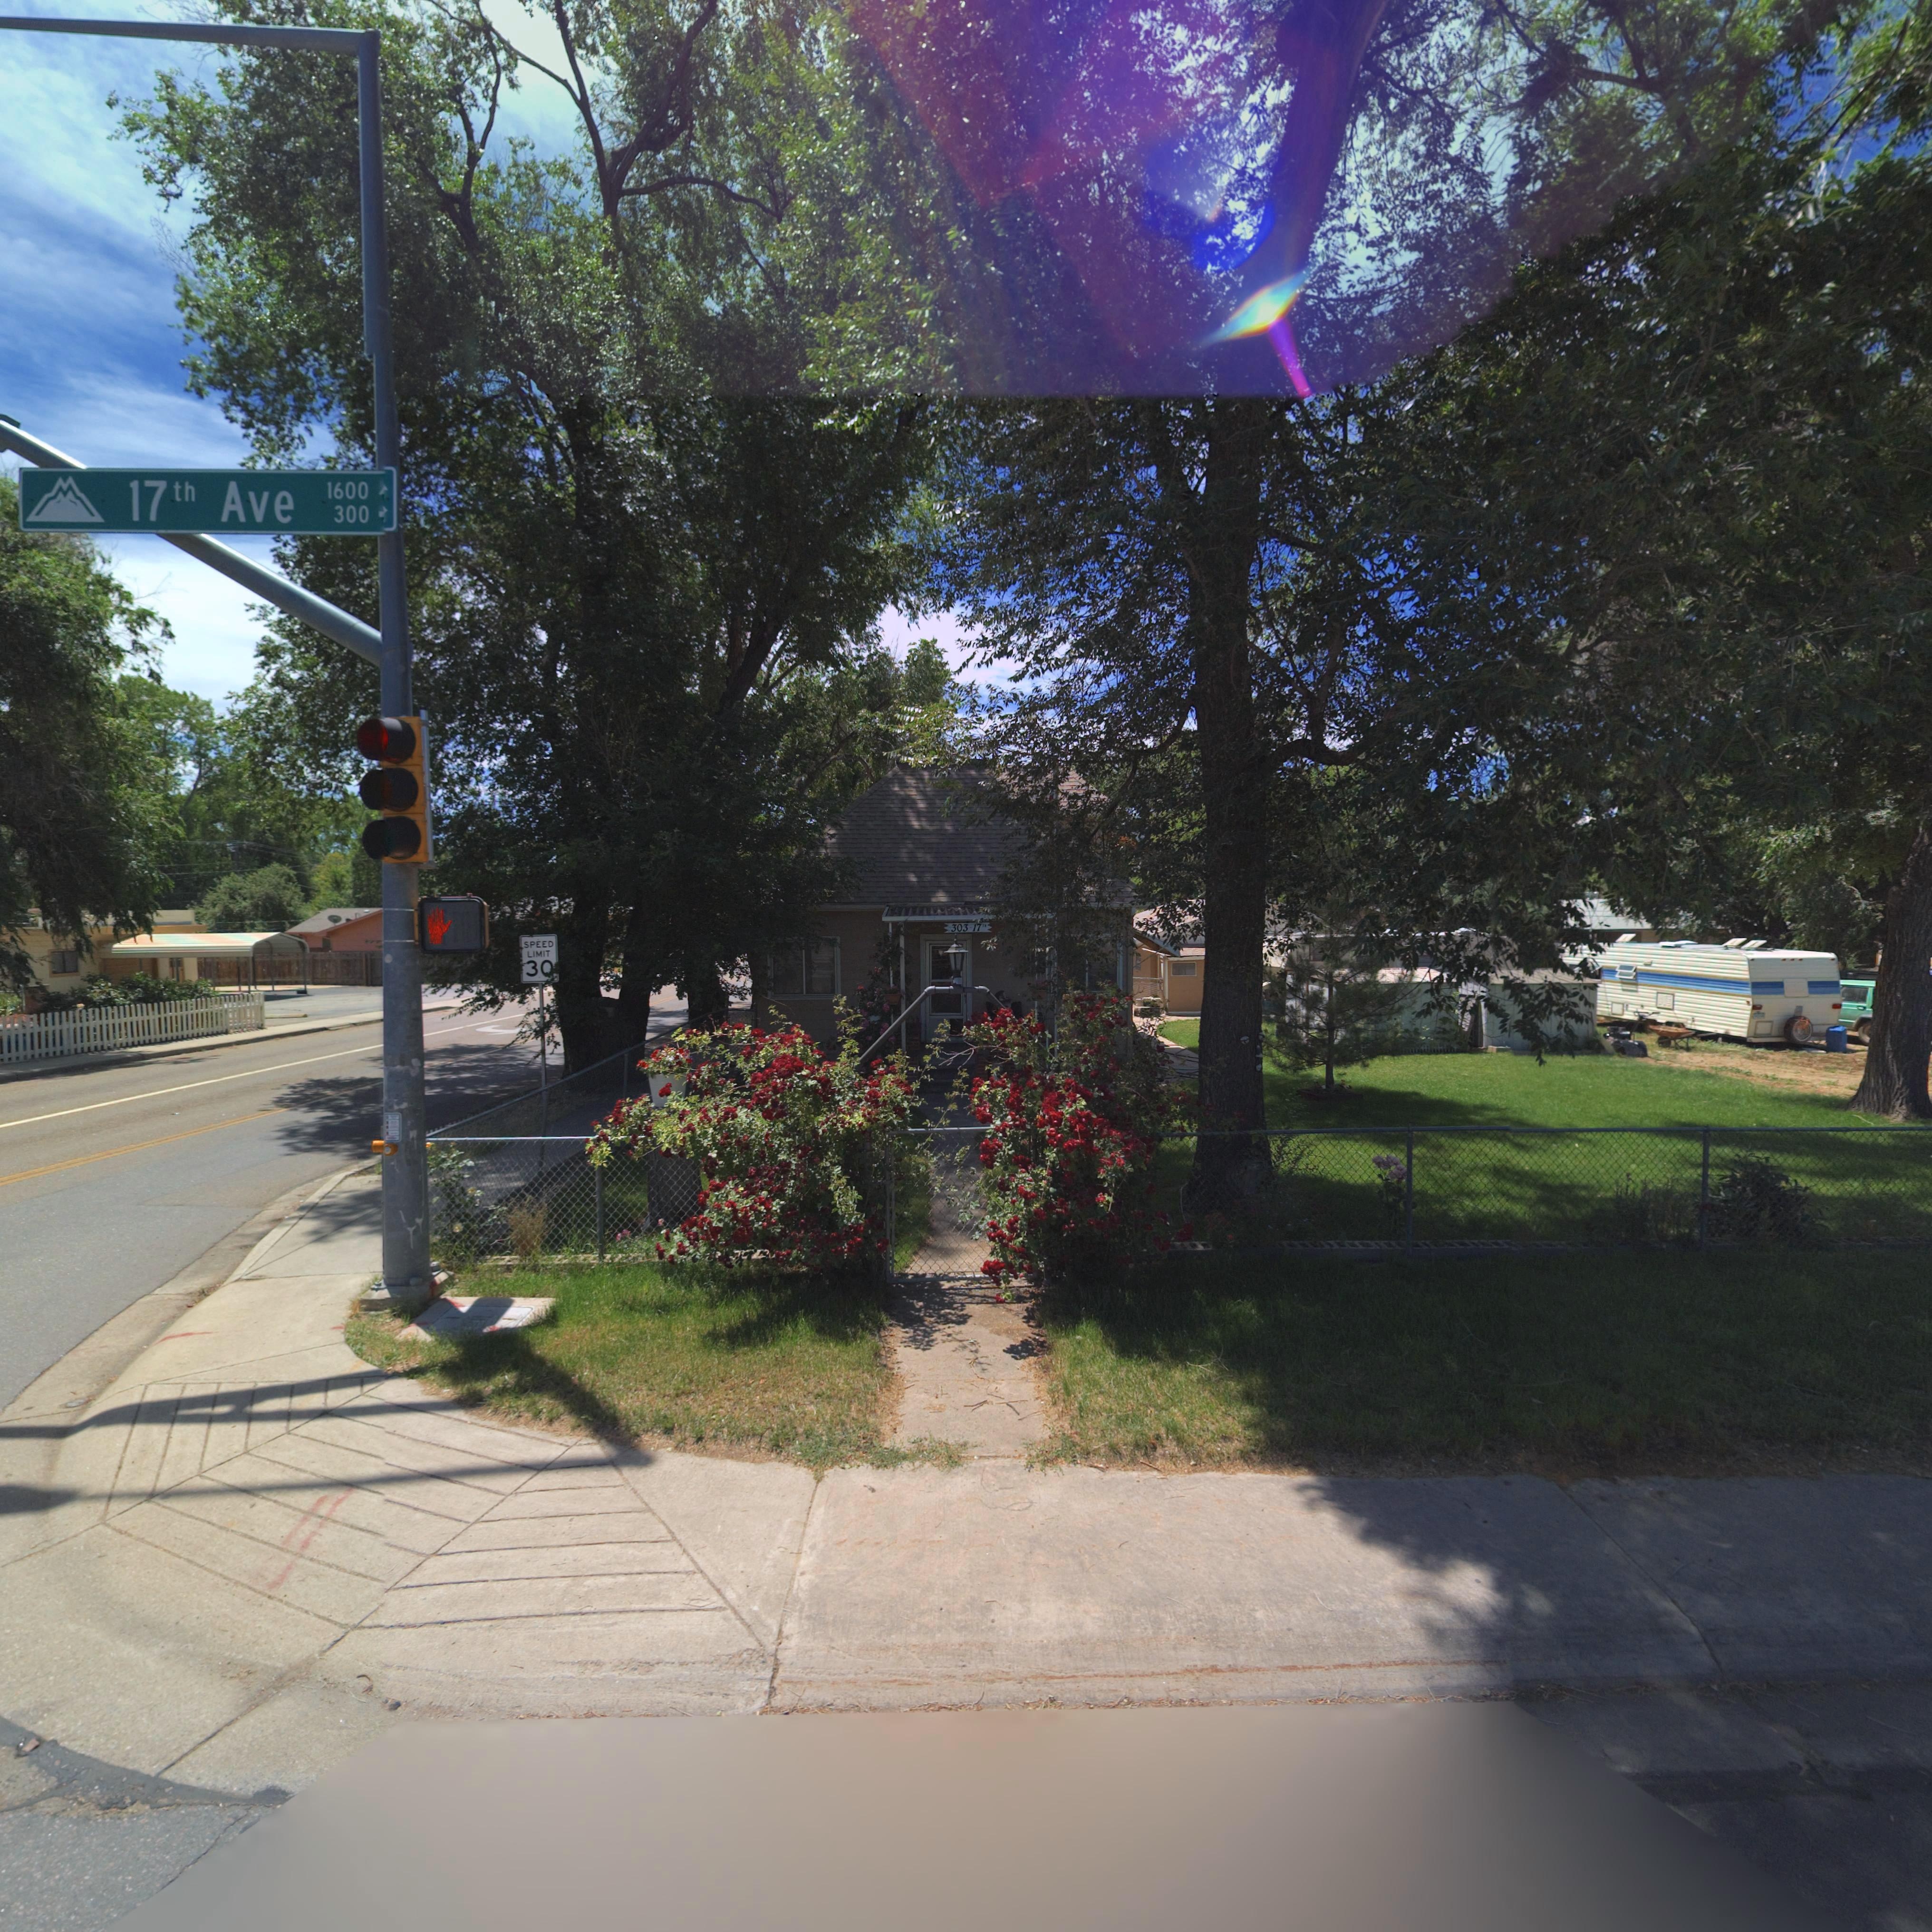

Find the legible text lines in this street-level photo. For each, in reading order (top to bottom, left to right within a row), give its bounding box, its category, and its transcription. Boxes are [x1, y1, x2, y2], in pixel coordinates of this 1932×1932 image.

[327, 481, 369, 499] StreetNumberRange: 1600
[127, 478, 295, 523] StreetName: 17th Ave
[333, 504, 393, 524] StreetNumberRange: 300->
[951, 924, 968, 932] StreetNumber: 303
[972, 923, 987, 932] StreetName: 17**